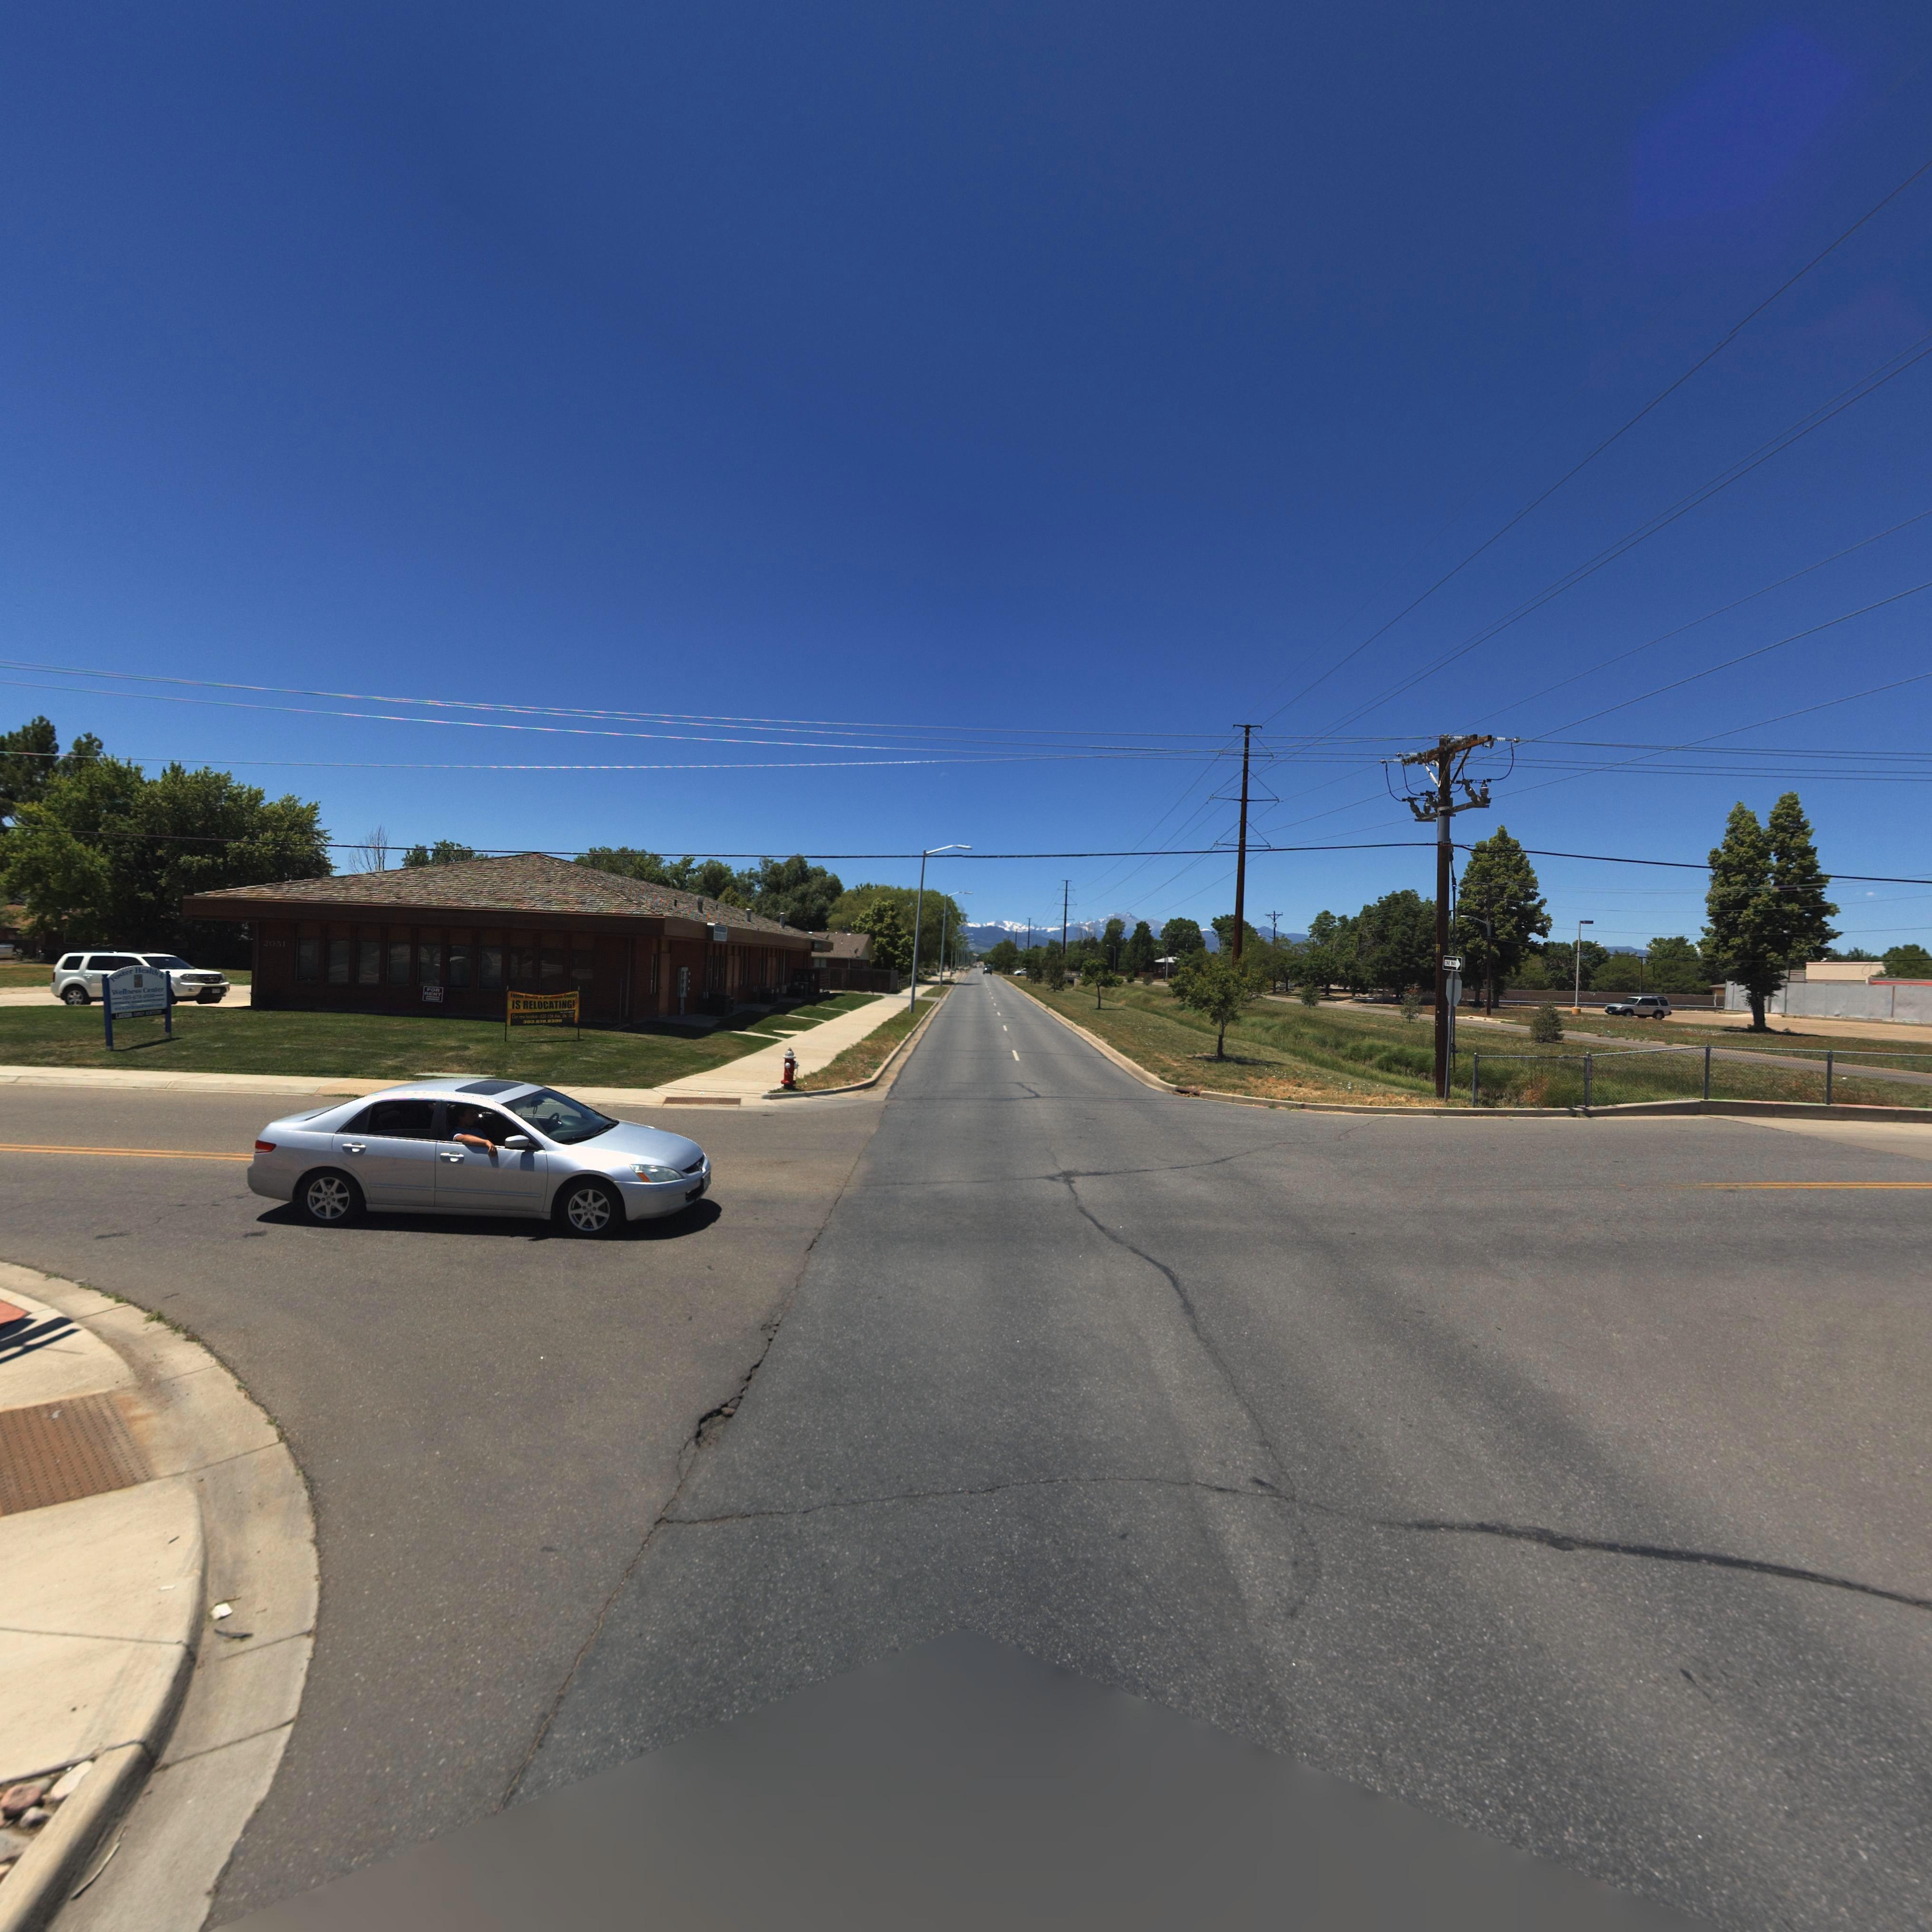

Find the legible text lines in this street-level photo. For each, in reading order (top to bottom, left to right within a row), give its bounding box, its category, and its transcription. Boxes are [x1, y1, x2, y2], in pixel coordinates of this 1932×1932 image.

[263, 940, 286, 947] StreetNumber: 2051
[108, 966, 165, 983] BusinessName: E**** Health &